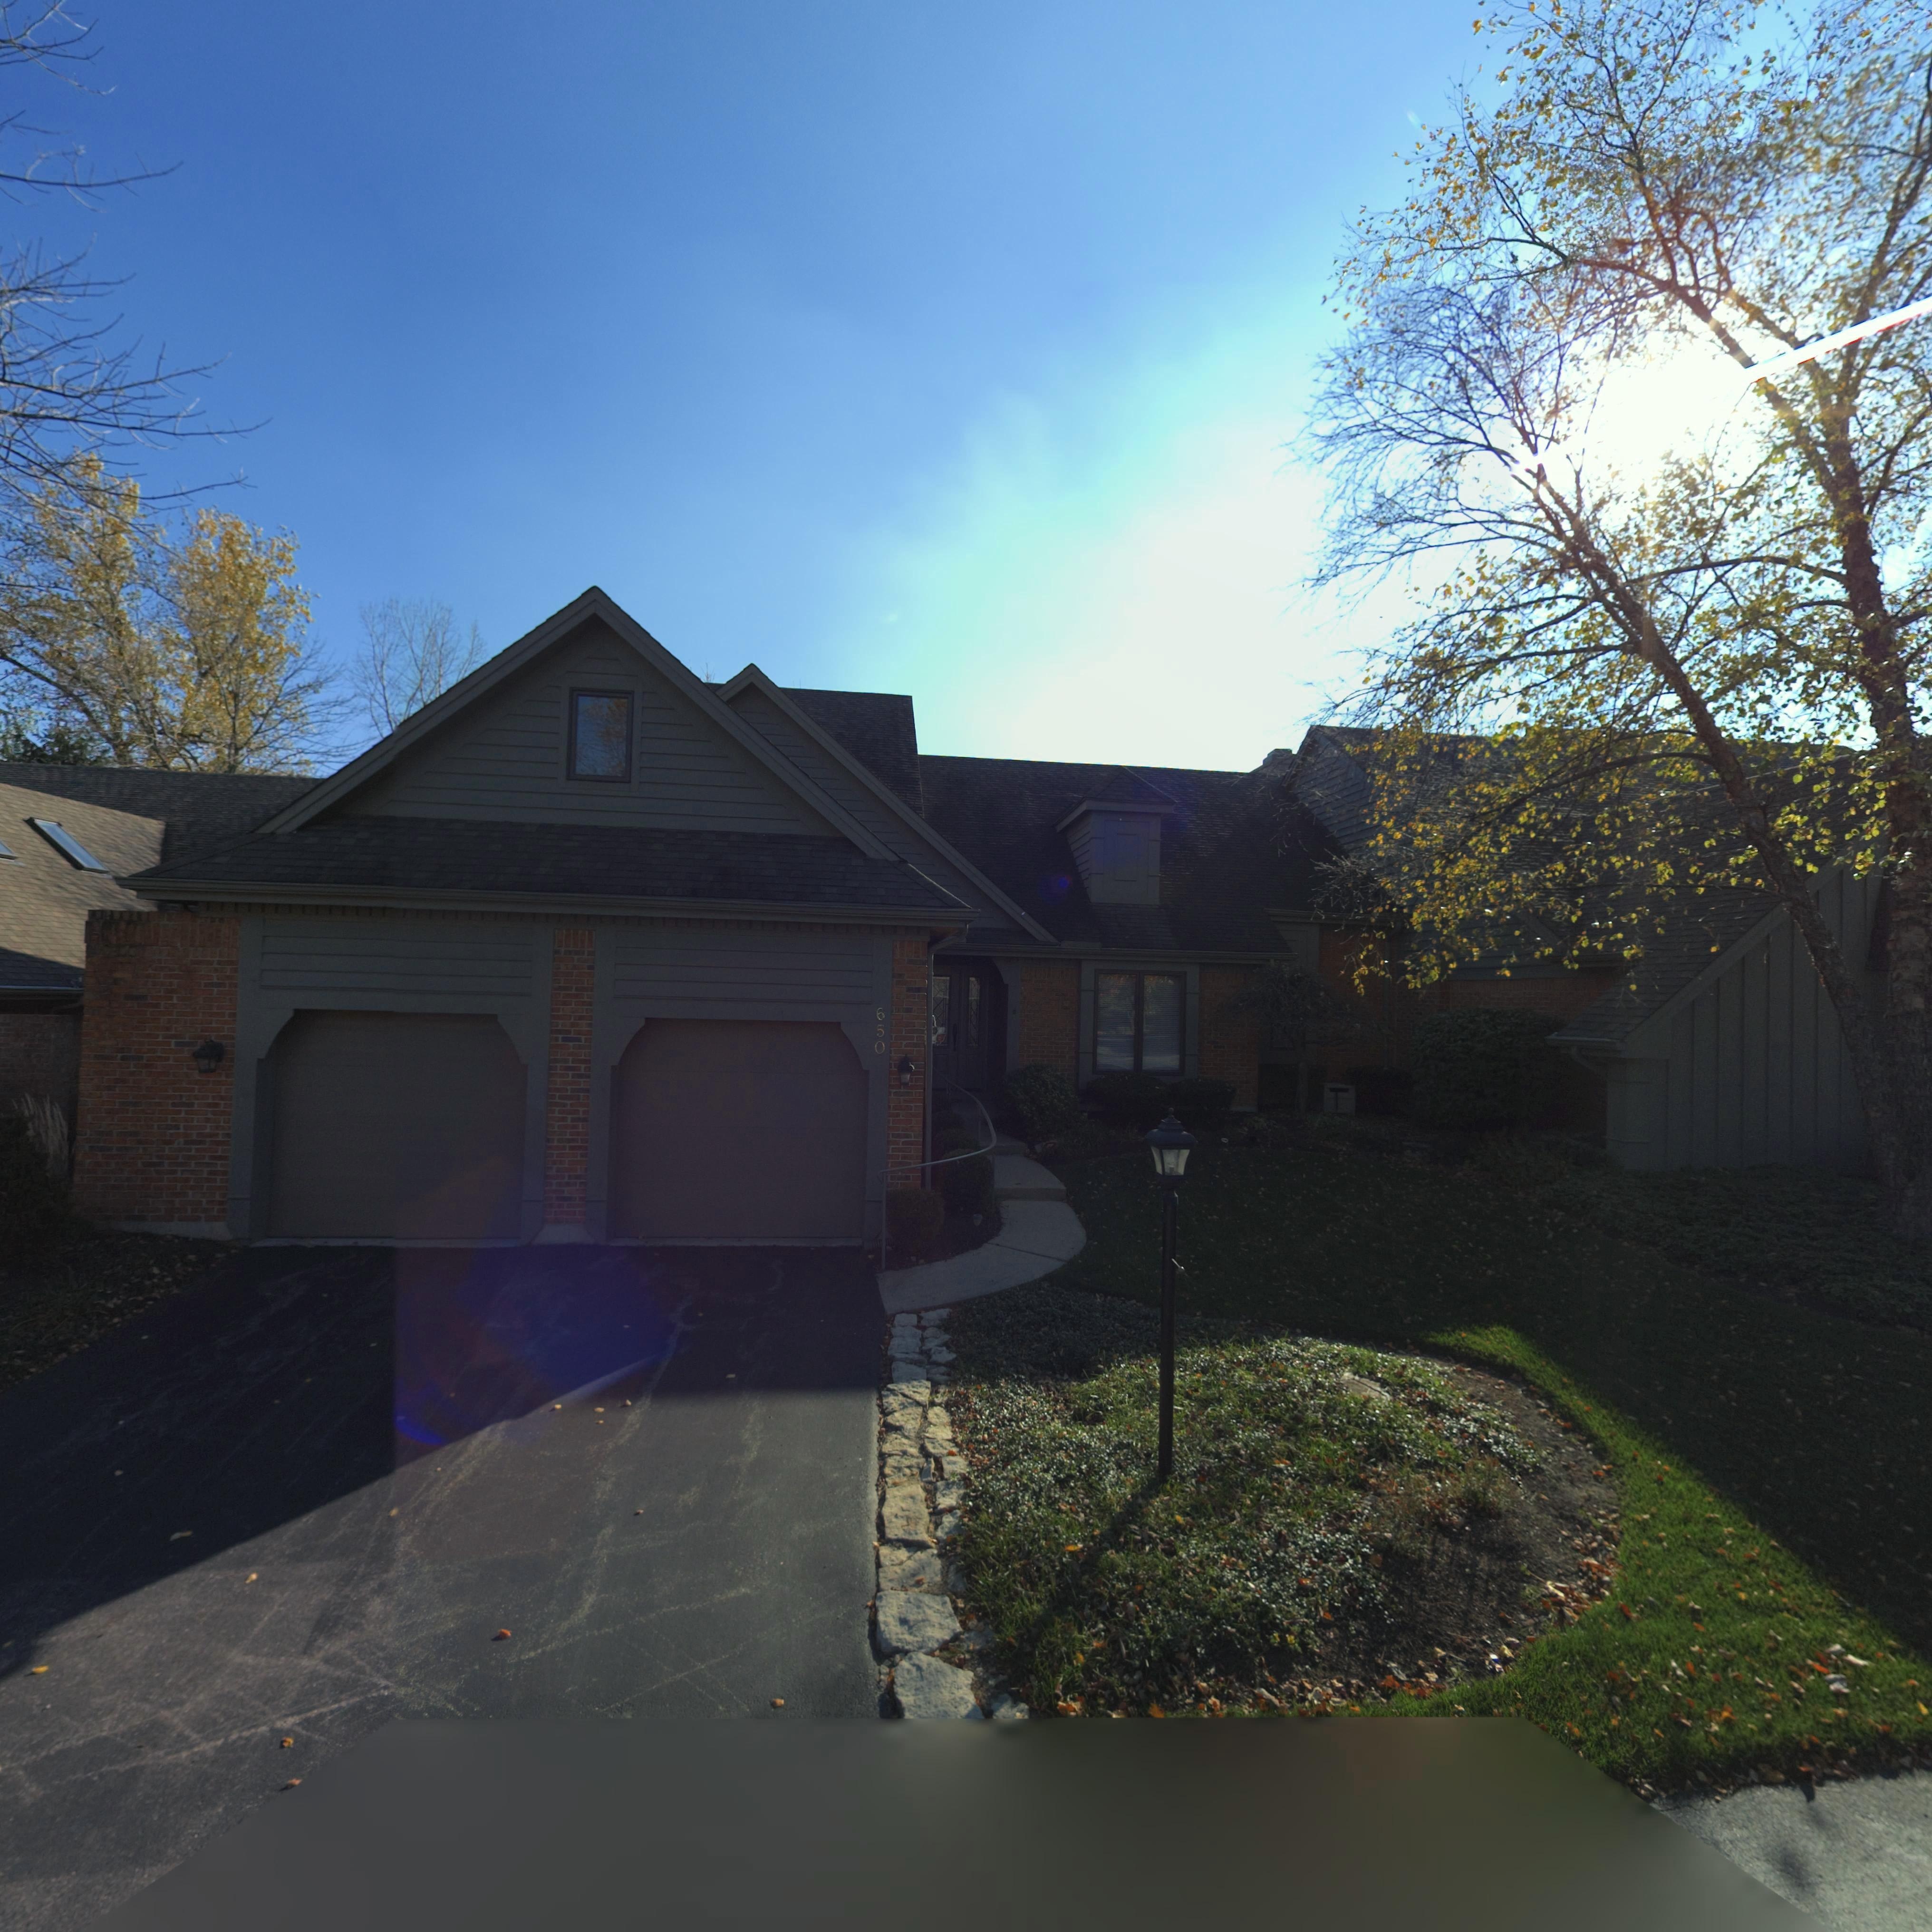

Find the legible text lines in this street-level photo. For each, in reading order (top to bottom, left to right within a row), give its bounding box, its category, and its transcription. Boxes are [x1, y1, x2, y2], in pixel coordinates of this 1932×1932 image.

[874, 1006, 886, 1055] StreetNumber: 650